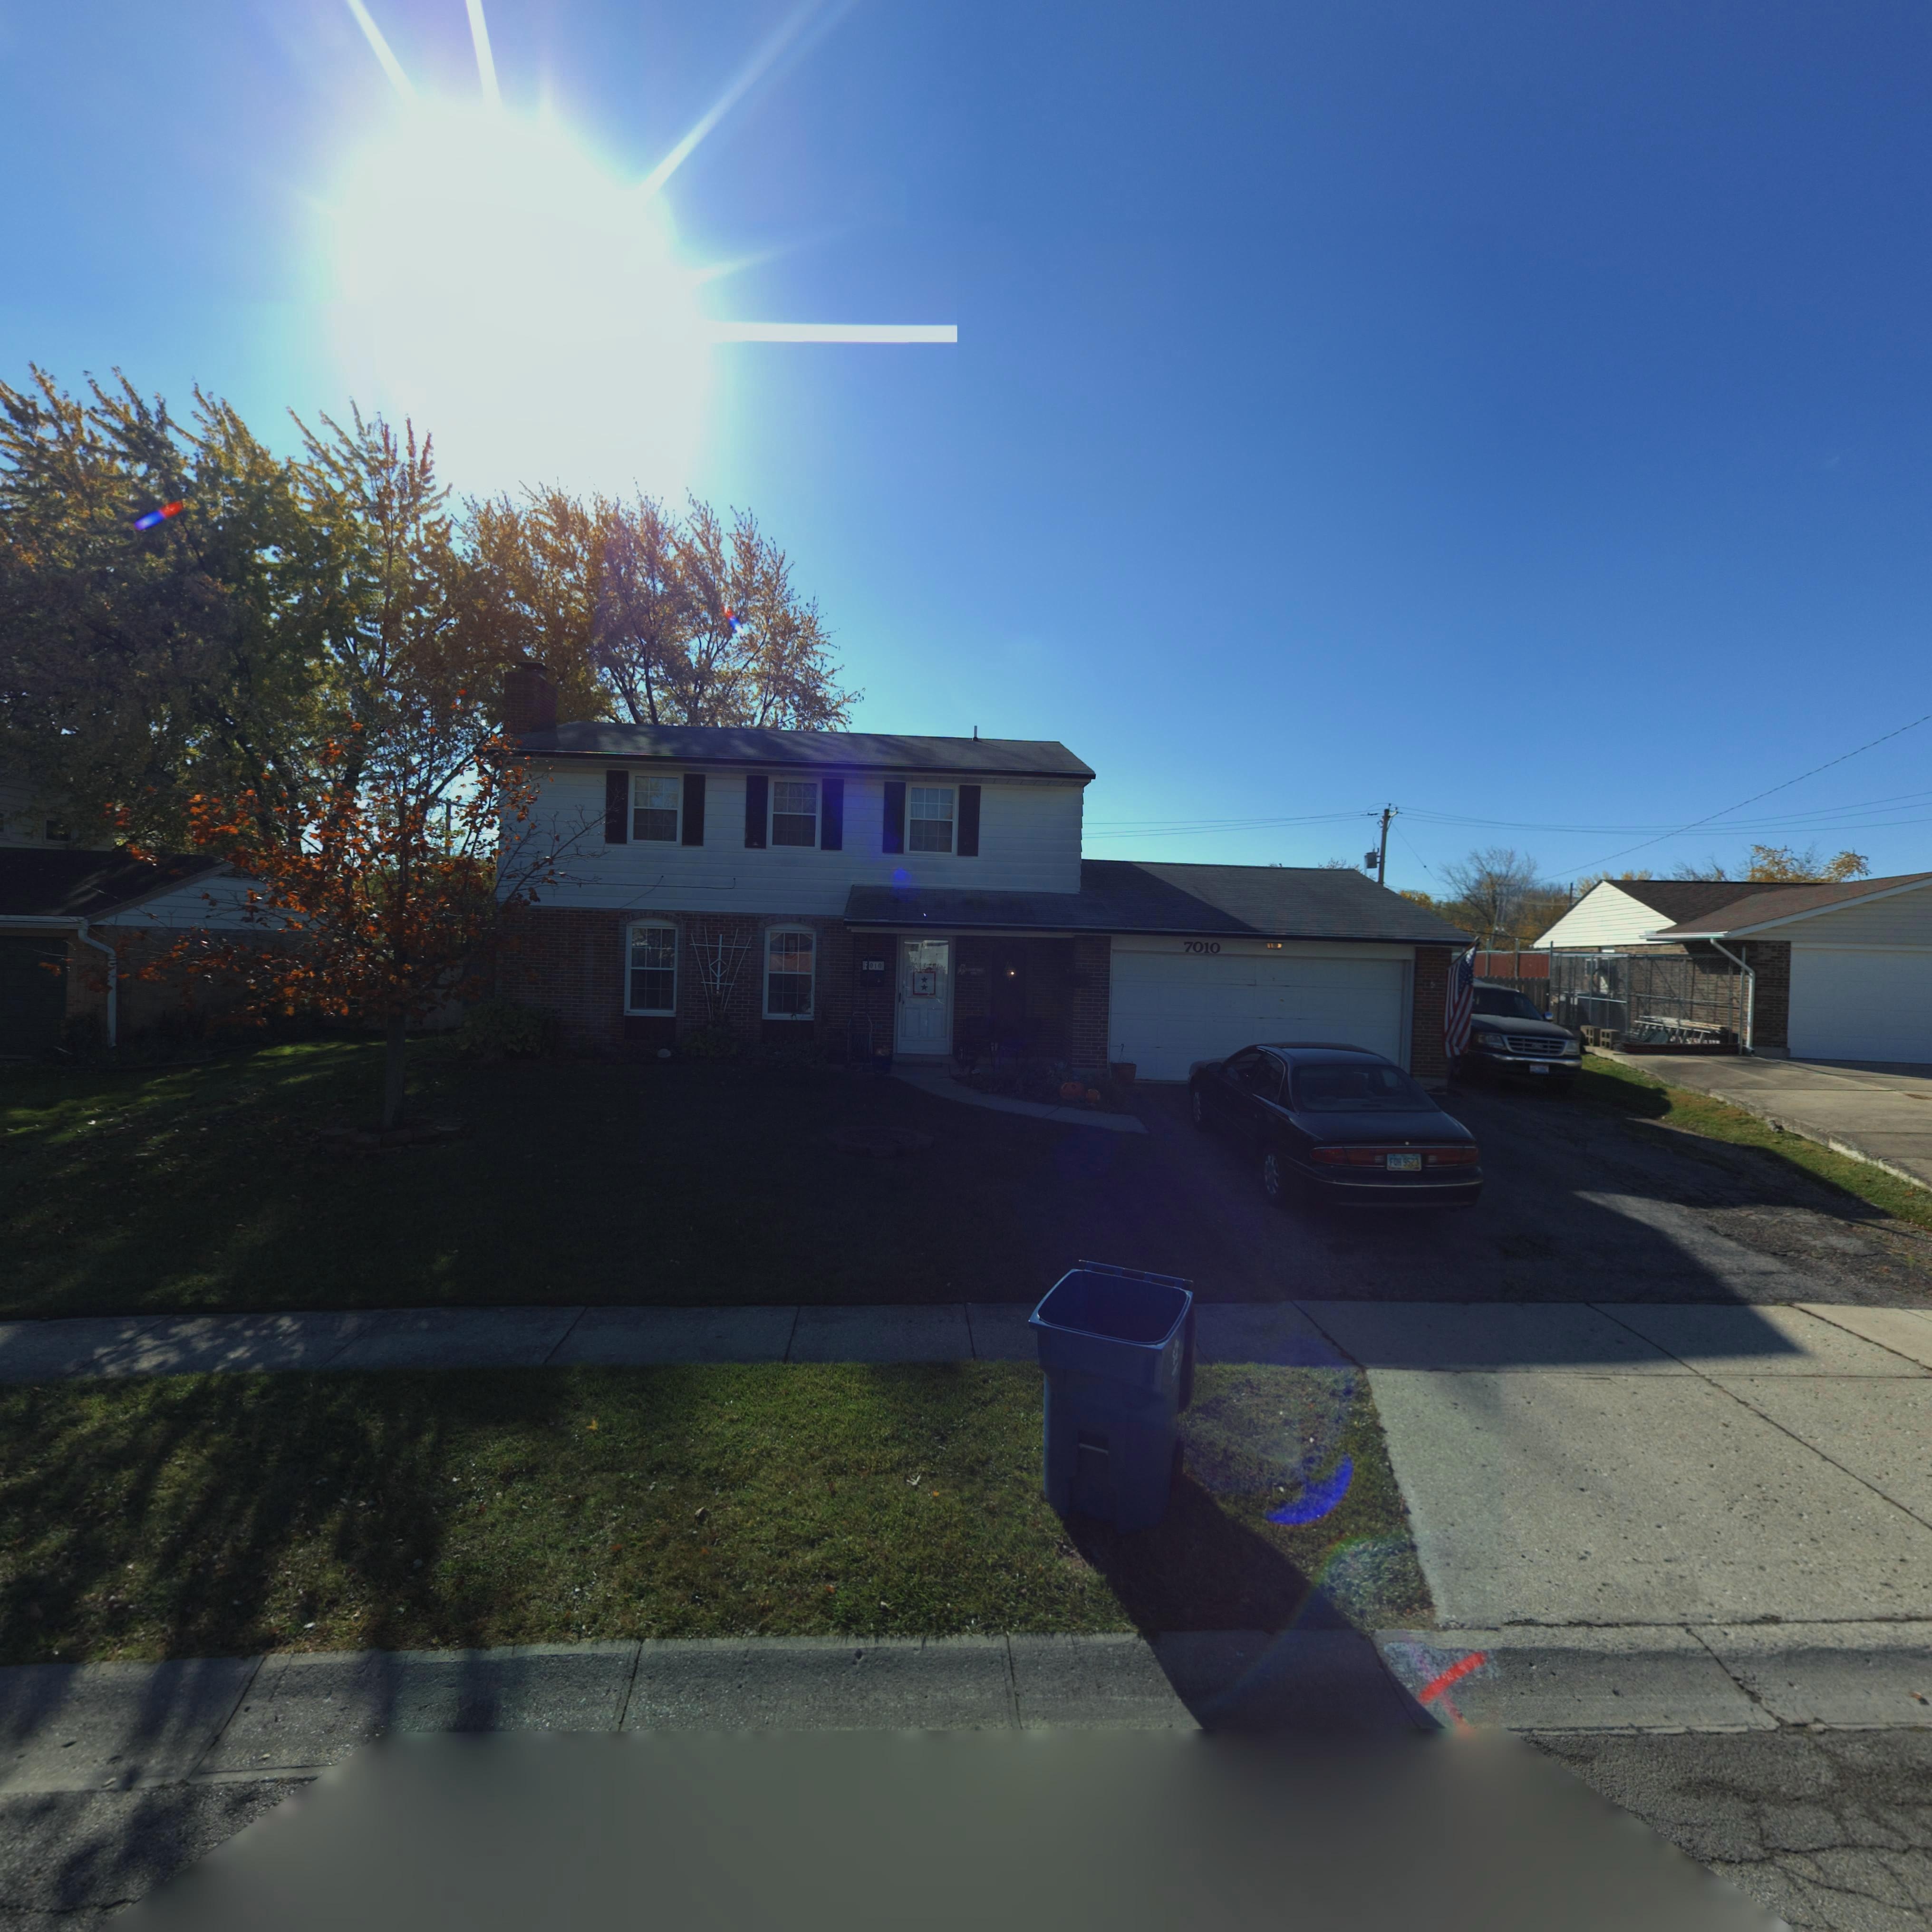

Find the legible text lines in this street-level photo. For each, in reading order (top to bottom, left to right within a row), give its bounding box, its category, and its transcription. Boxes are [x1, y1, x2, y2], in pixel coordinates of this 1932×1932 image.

[1183, 941, 1221, 954] StreetNumber: 7010
[869, 962, 882, 969] StreetNumber: 010
[1439, 1647, 1493, 1686] StreetNumber: 10